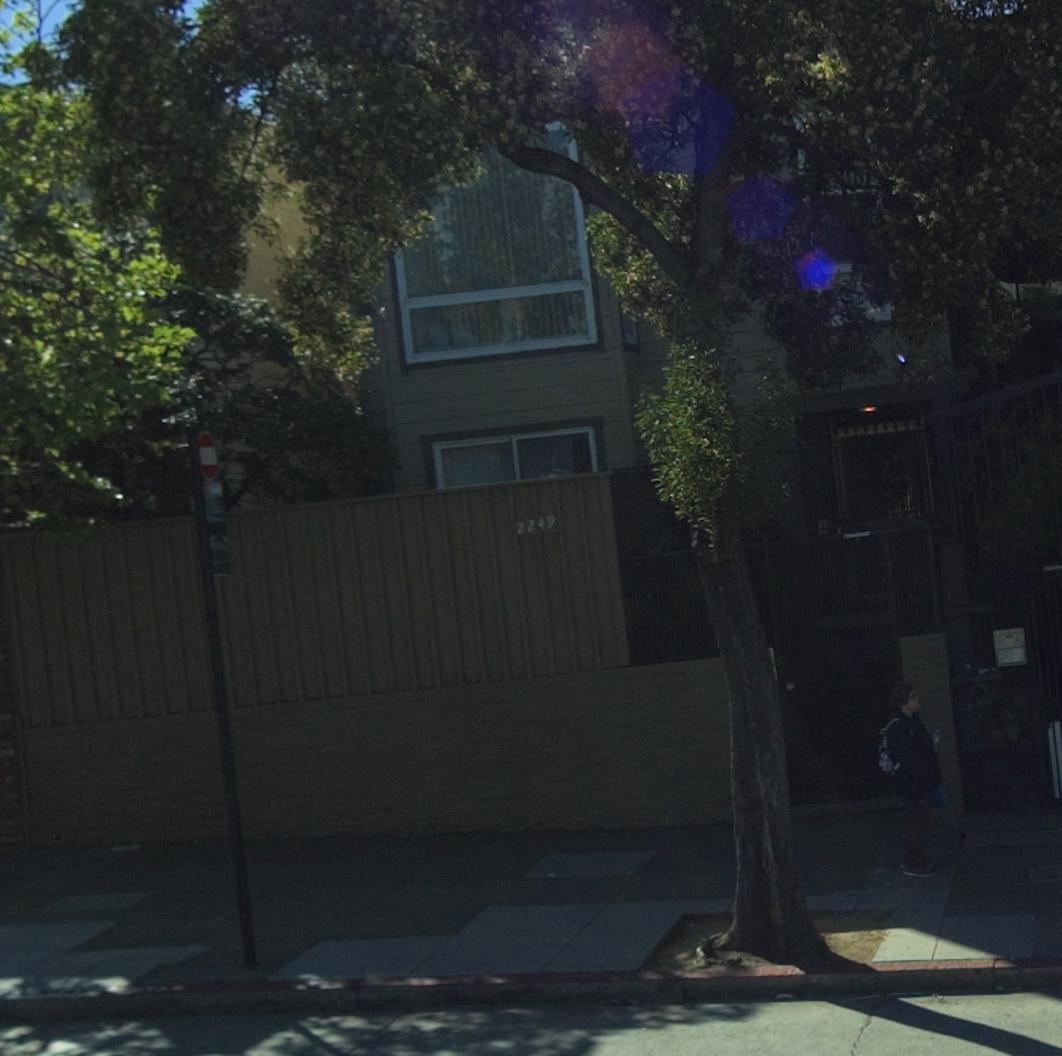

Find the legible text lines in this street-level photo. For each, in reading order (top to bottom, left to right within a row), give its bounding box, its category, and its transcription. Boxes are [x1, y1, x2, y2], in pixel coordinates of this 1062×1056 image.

[515, 514, 557, 536] StreetNumber: 2249